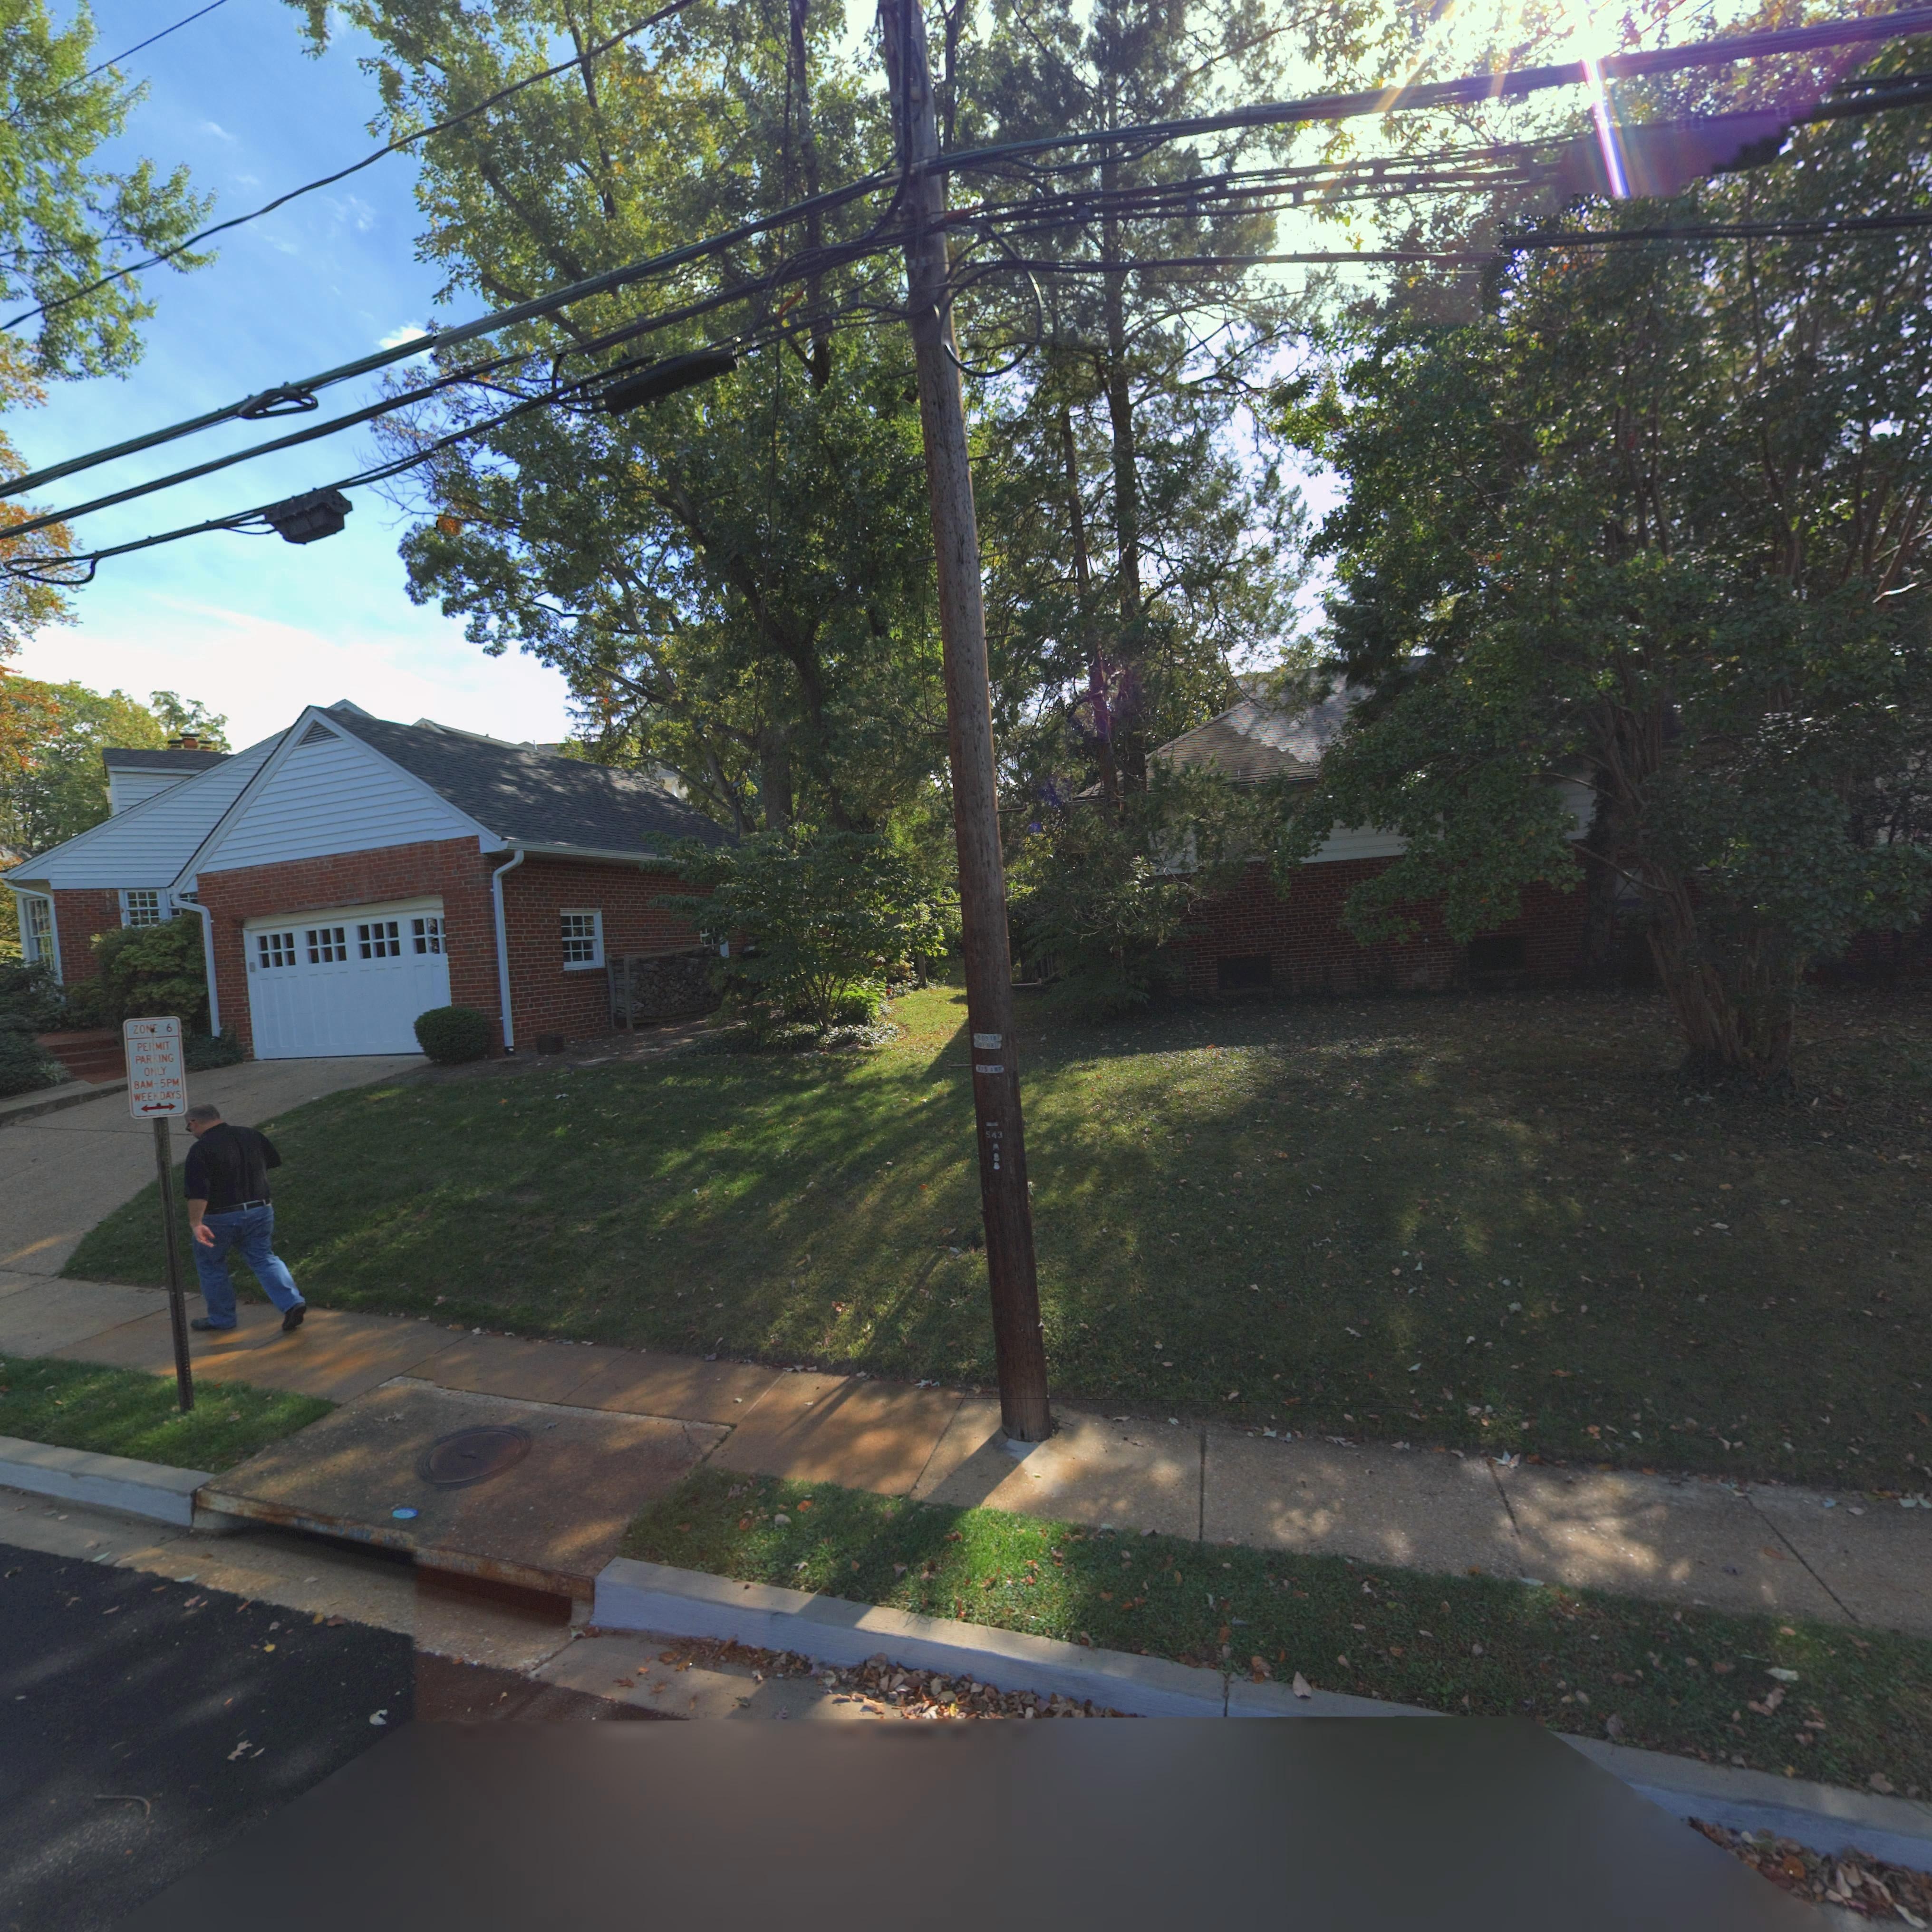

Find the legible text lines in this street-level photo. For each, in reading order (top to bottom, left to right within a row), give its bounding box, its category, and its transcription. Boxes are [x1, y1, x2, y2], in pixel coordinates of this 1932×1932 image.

[131, 1022, 175, 1036] None: ZONE 6
[135, 1039, 172, 1053] None: PE*MIT
[134, 1052, 176, 1066] None: PAR*ING
[142, 1063, 169, 1078] None: O**Y
[132, 1076, 182, 1091] None: 8AM-5PM
[131, 1088, 183, 1104] None: WEE*DAYS
[985, 1129, 1005, 1140] None: 543